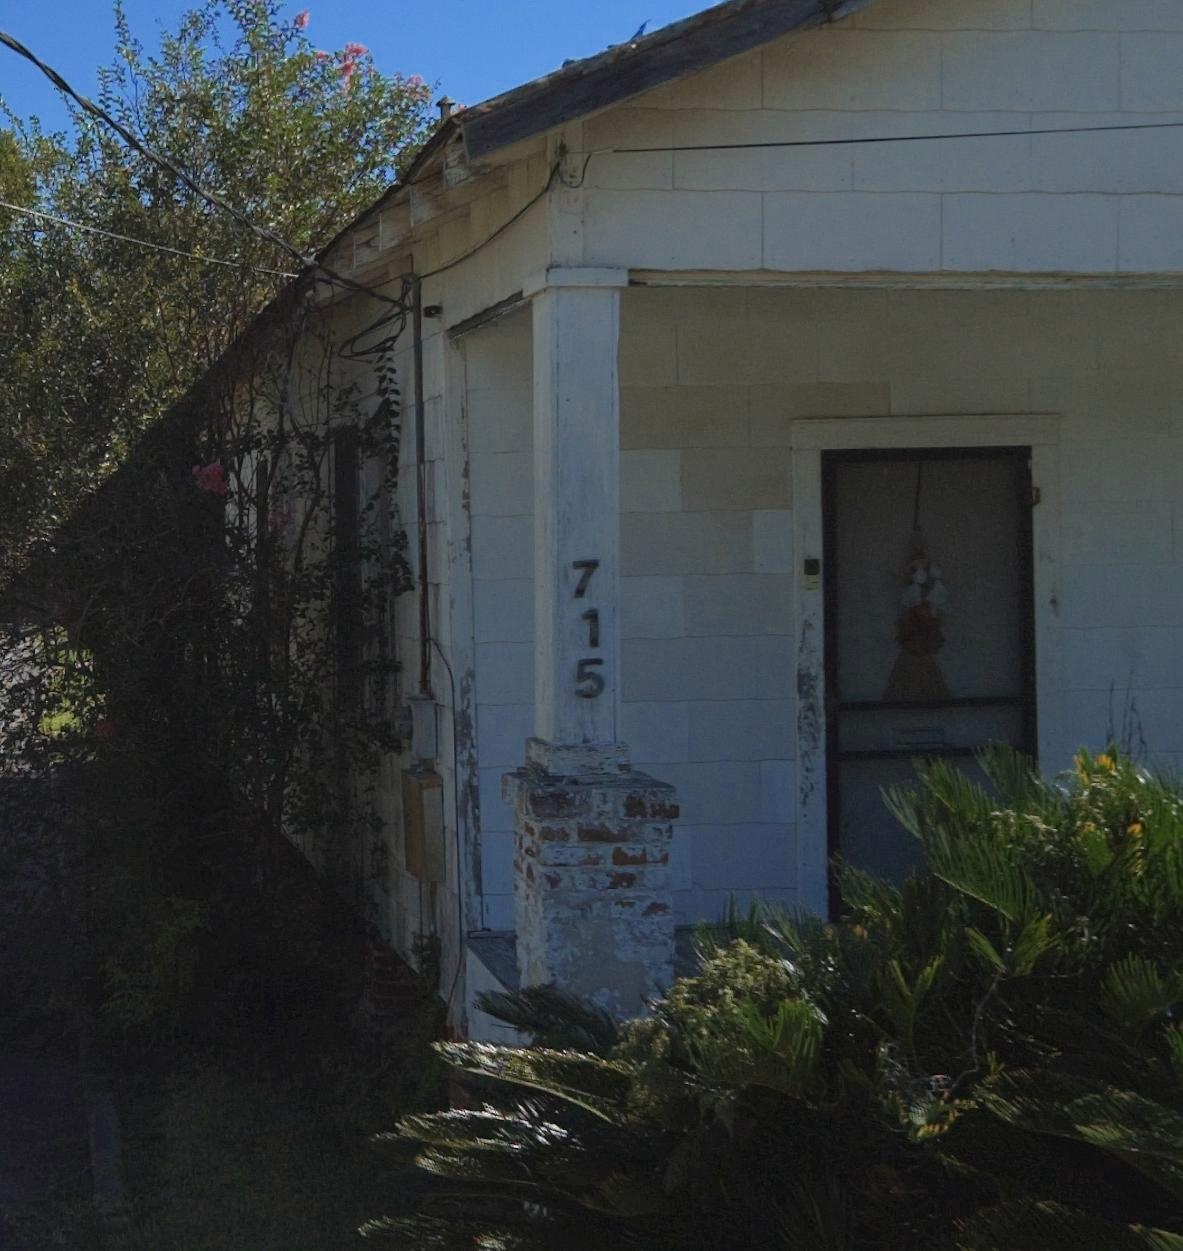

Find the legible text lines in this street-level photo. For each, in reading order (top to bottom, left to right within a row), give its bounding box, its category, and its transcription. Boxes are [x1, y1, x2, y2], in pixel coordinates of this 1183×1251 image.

[568, 556, 609, 702] StreetNumber: 715